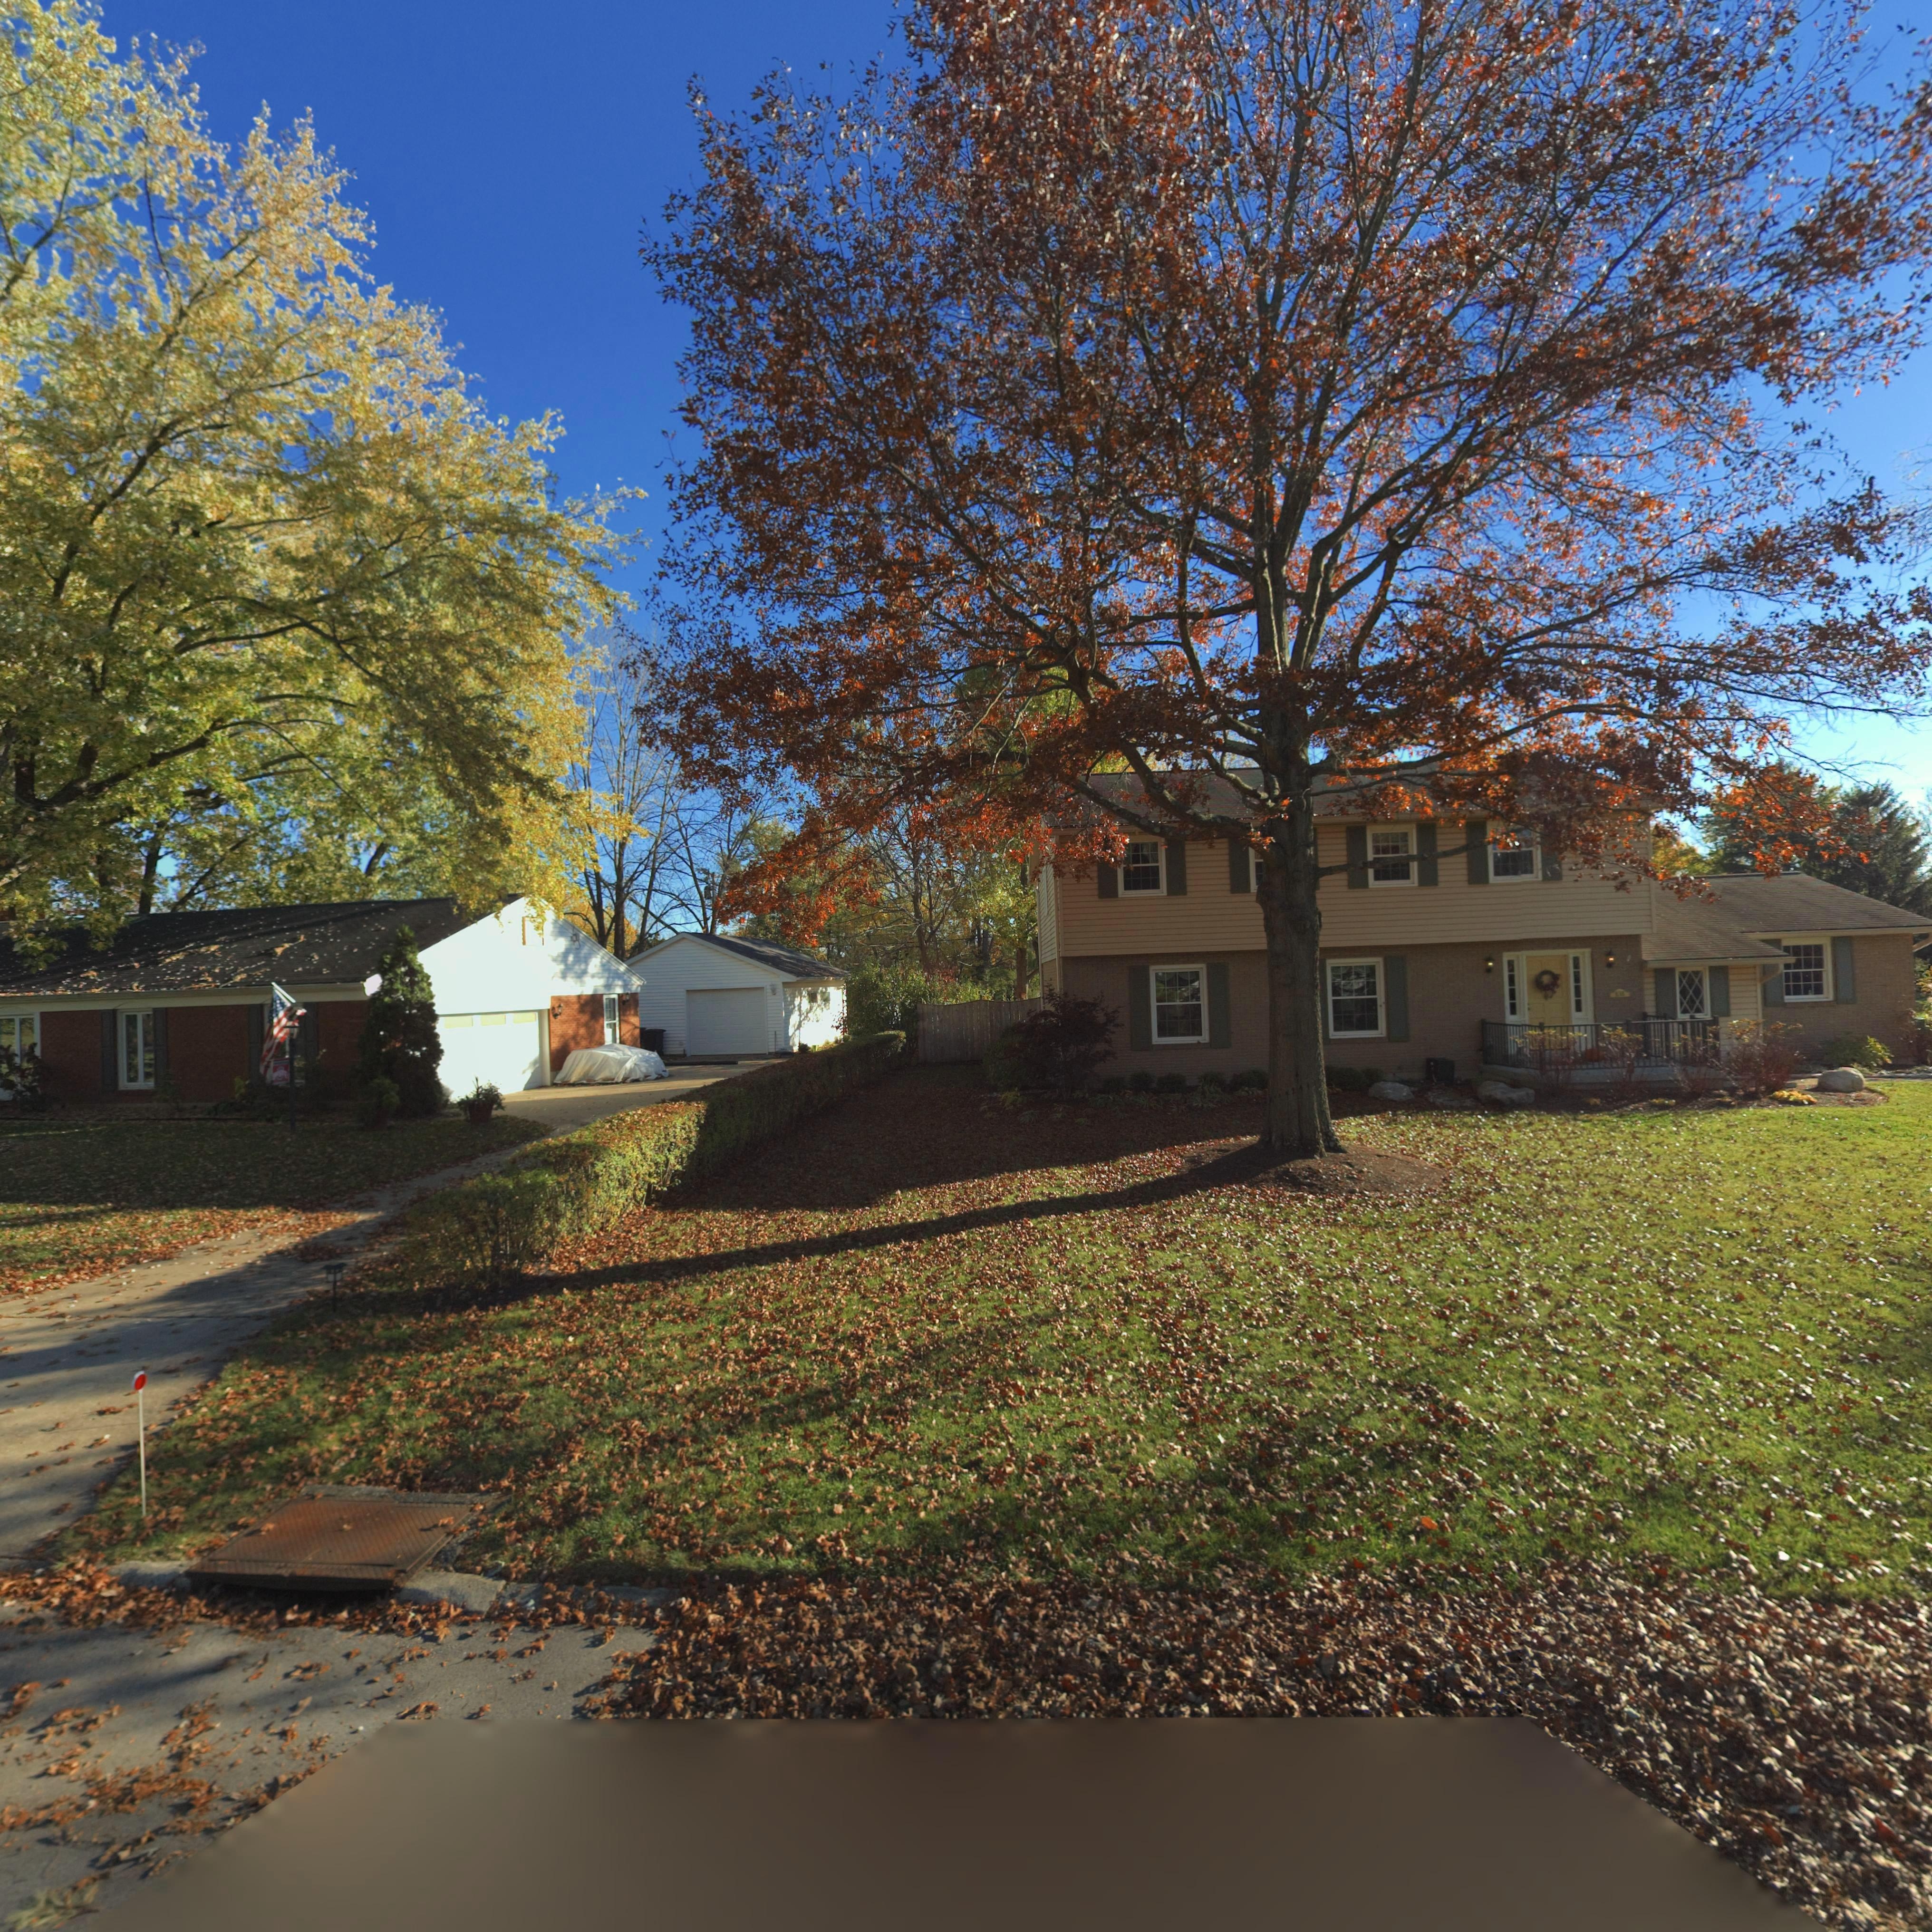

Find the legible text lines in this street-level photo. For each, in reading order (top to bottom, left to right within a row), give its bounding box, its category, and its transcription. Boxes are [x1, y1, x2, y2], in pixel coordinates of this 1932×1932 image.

[1614, 991, 1624, 997] StreetNumber: 838